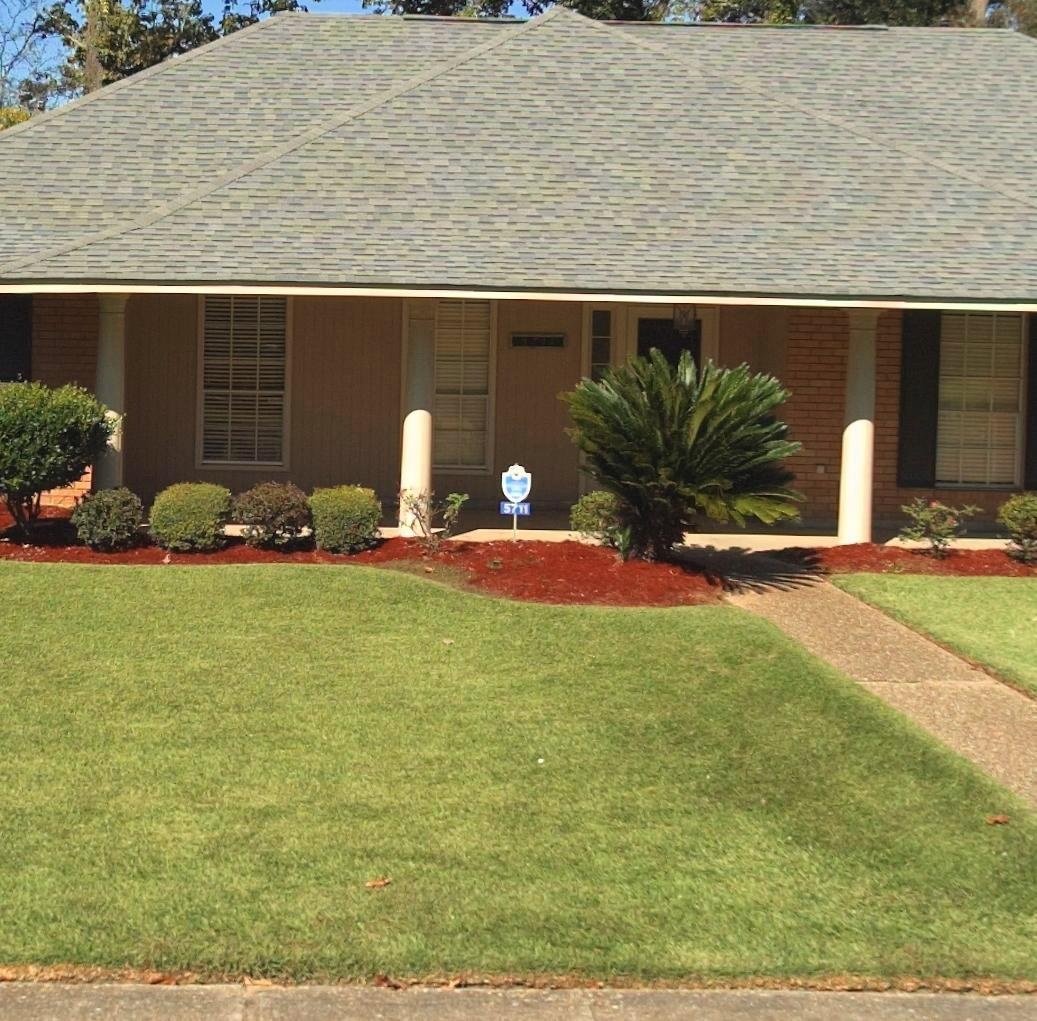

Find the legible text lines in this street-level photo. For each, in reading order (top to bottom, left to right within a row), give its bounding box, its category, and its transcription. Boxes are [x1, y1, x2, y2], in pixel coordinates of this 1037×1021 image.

[502, 502, 530, 516] StreetNumber: 5711